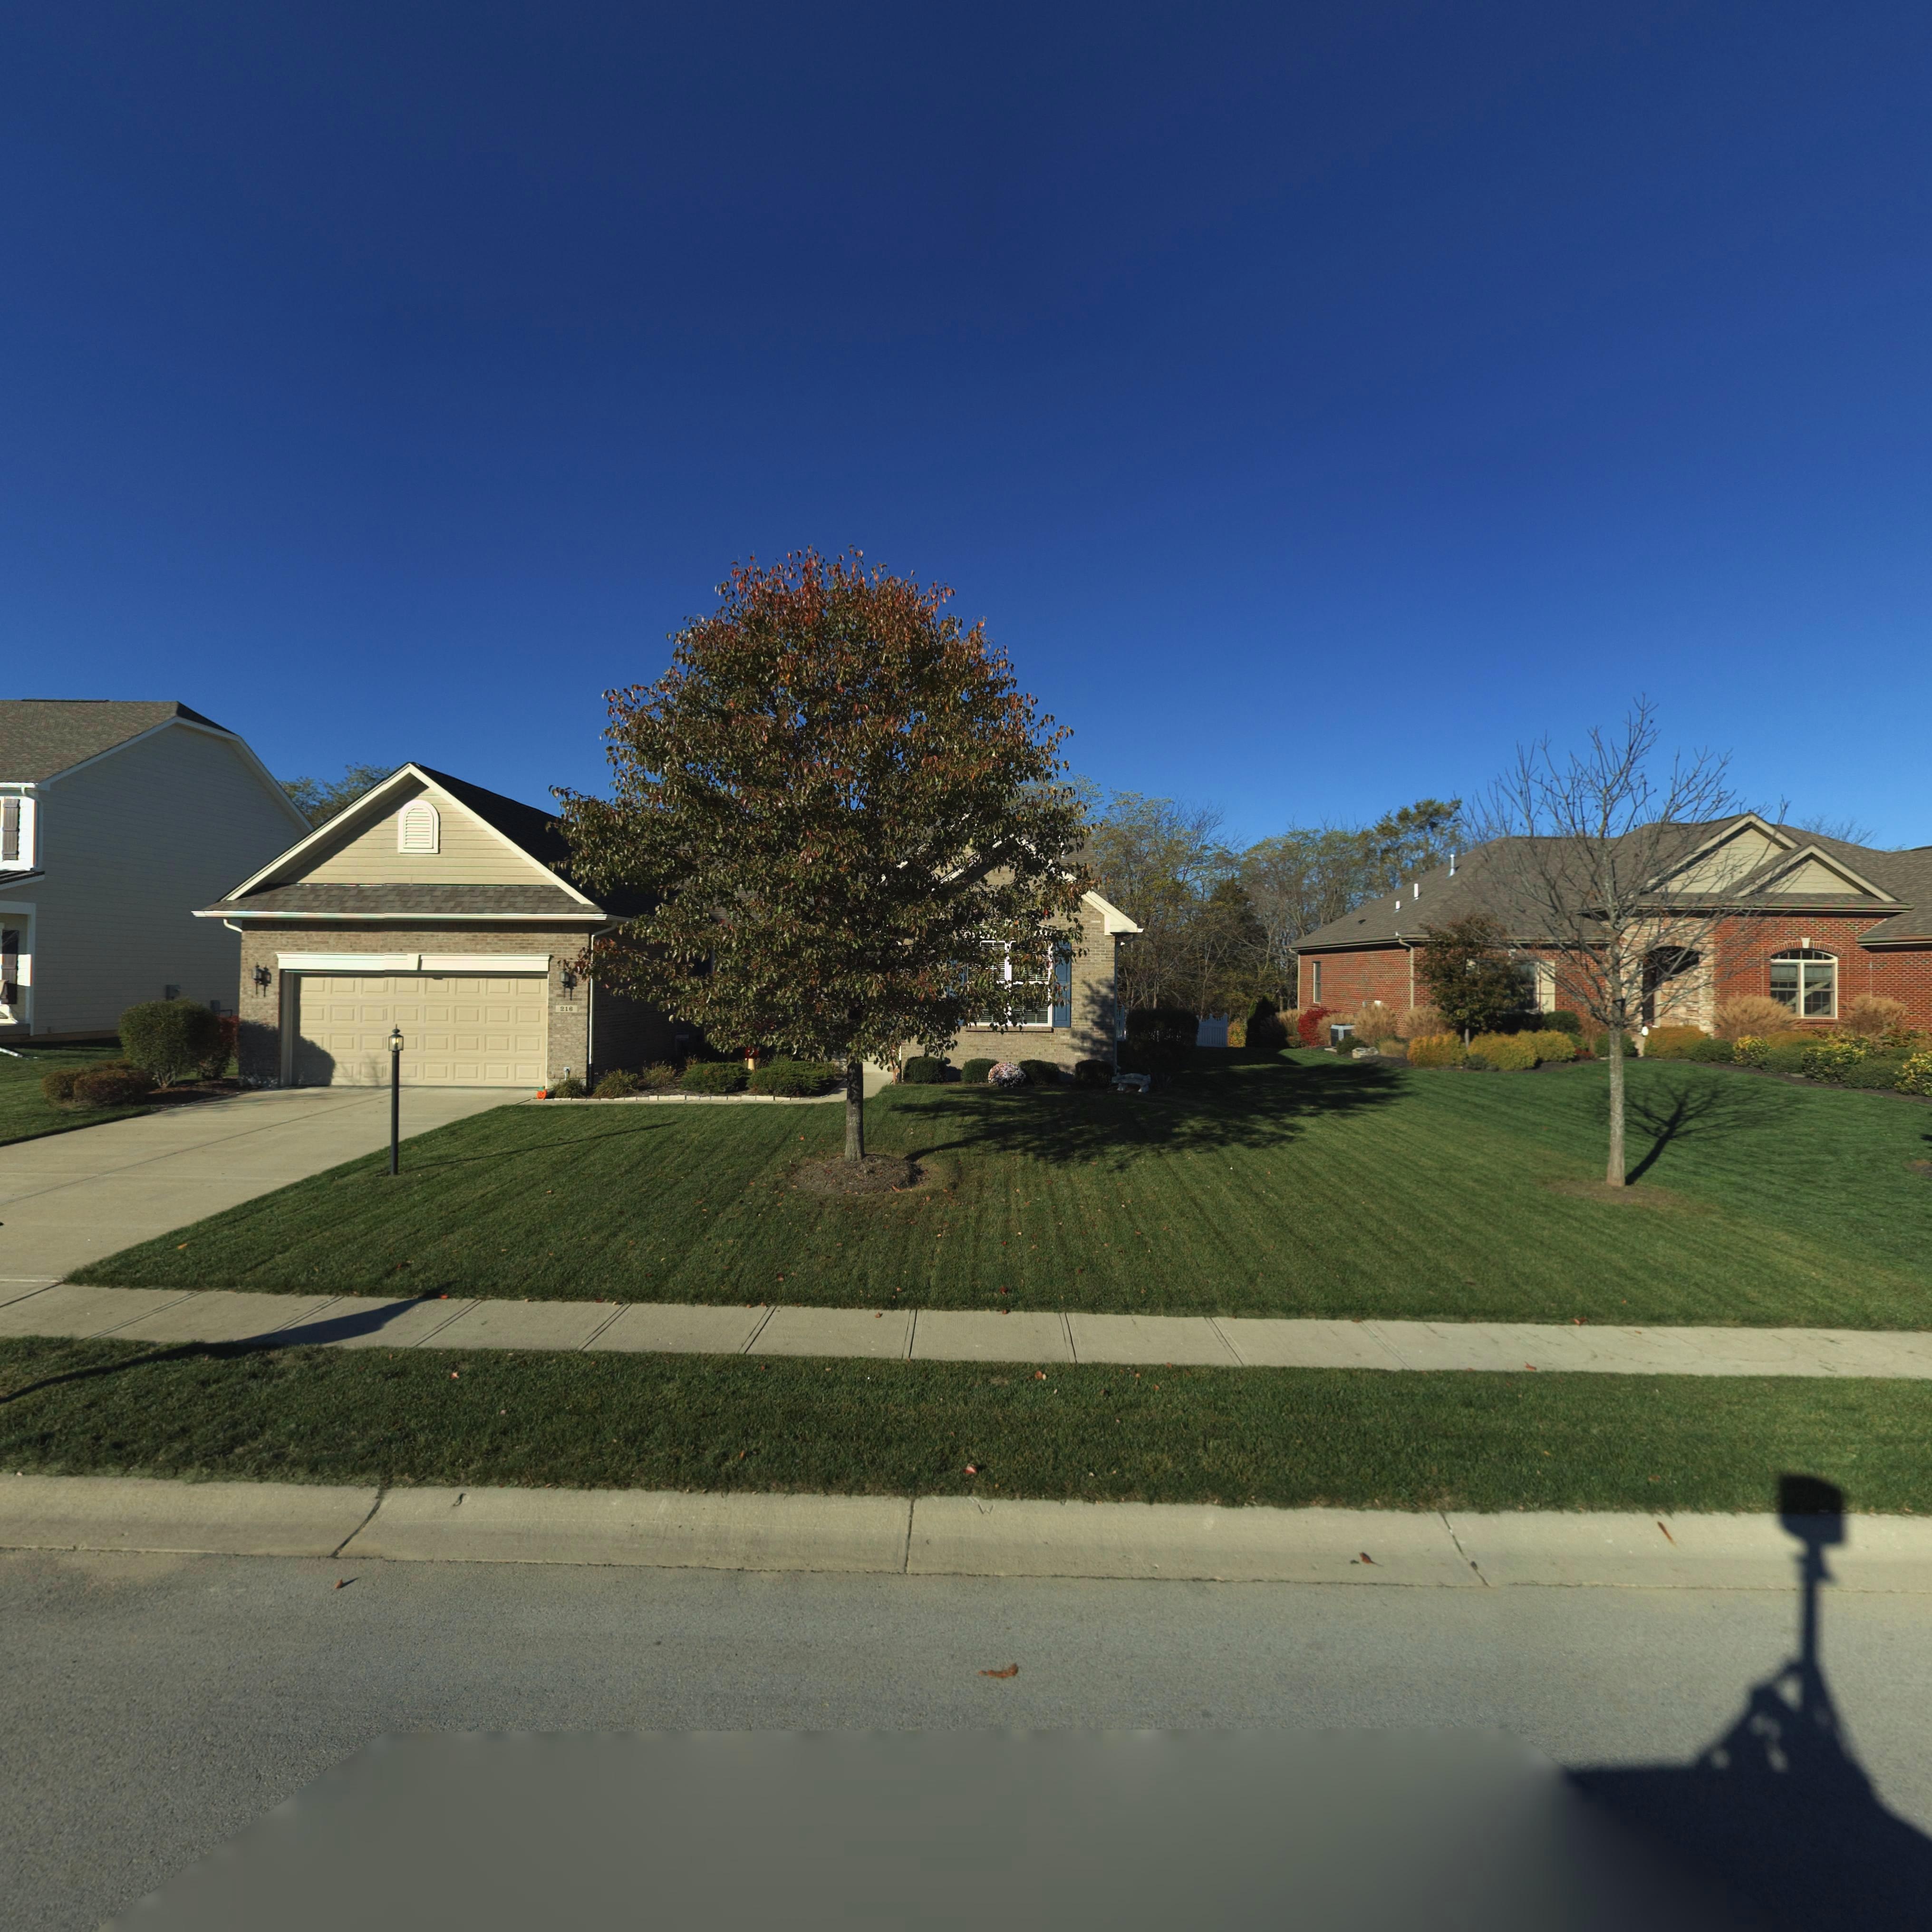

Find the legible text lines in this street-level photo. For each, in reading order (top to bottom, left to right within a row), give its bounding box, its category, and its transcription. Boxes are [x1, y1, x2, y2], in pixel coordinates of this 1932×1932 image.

[559, 1005, 574, 1013] StreetNumber: 216